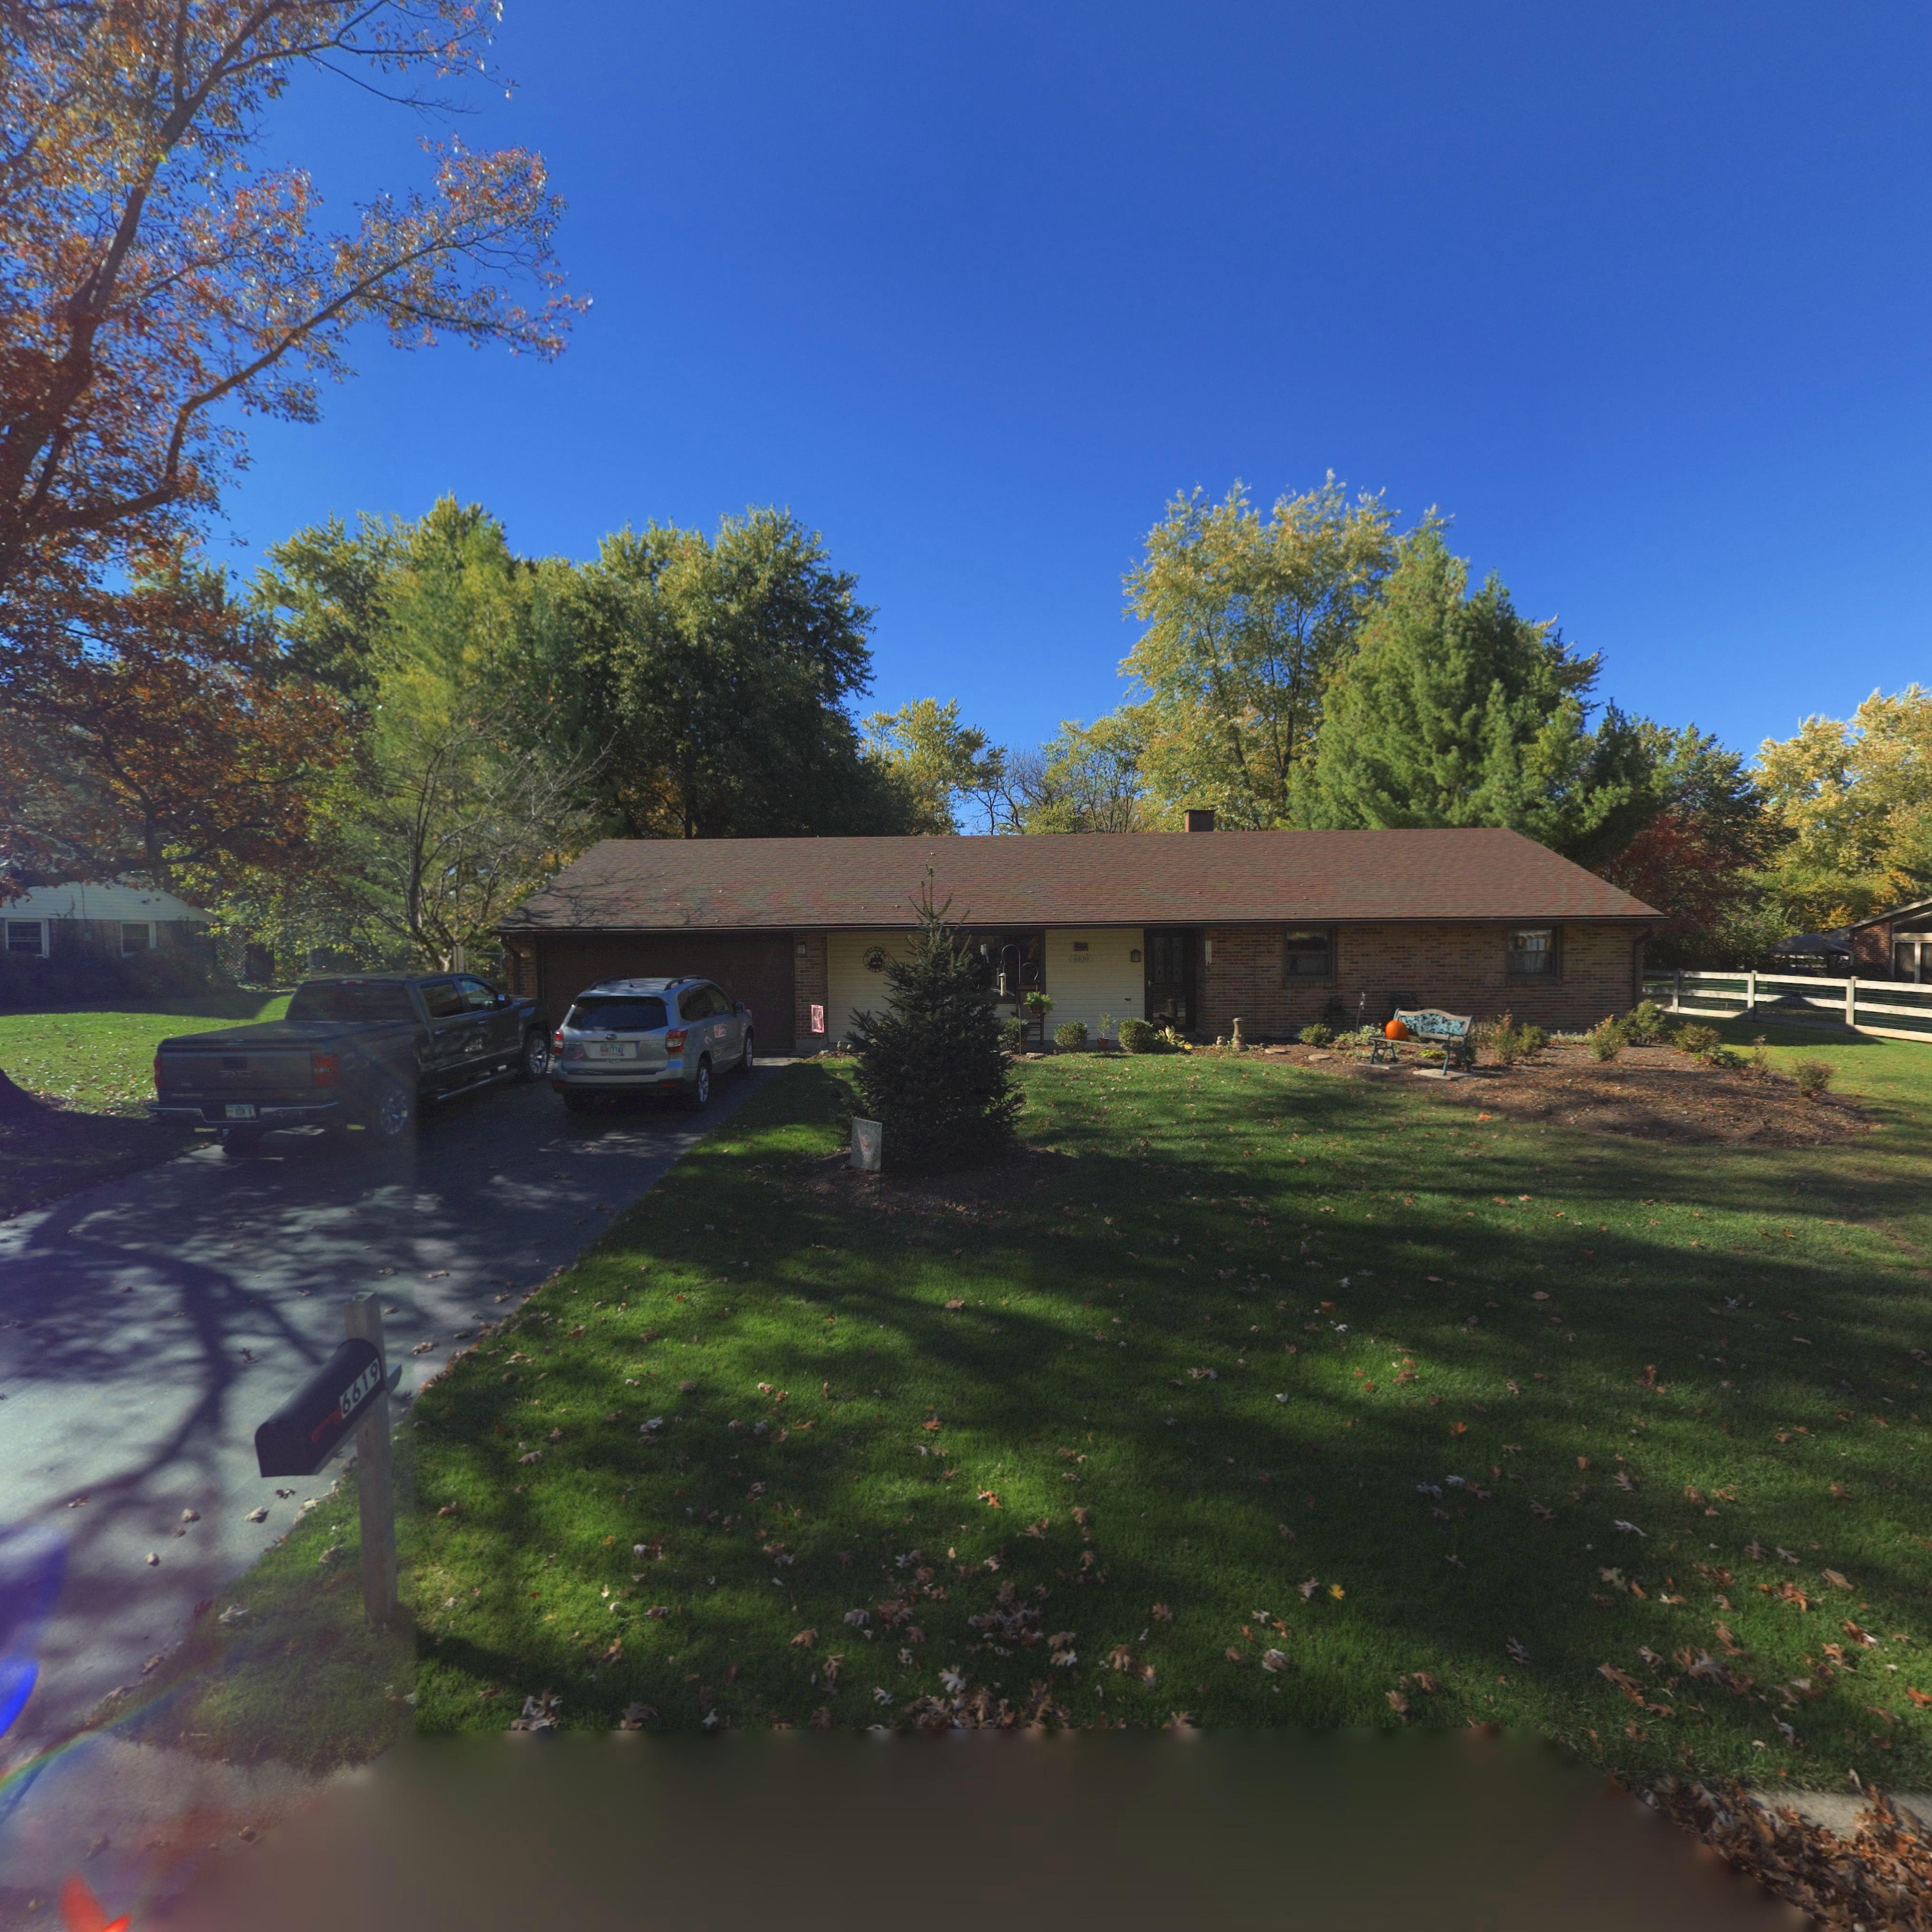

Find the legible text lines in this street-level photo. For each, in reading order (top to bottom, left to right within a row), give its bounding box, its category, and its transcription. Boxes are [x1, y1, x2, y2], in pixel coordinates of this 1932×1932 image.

[1073, 956, 1090, 963] StreetNumber: 6619
[609, 1047, 619, 1054] None: EET
[217, 1069, 253, 1079] None: GMC
[342, 1360, 378, 1416] StreetNumber: 6619